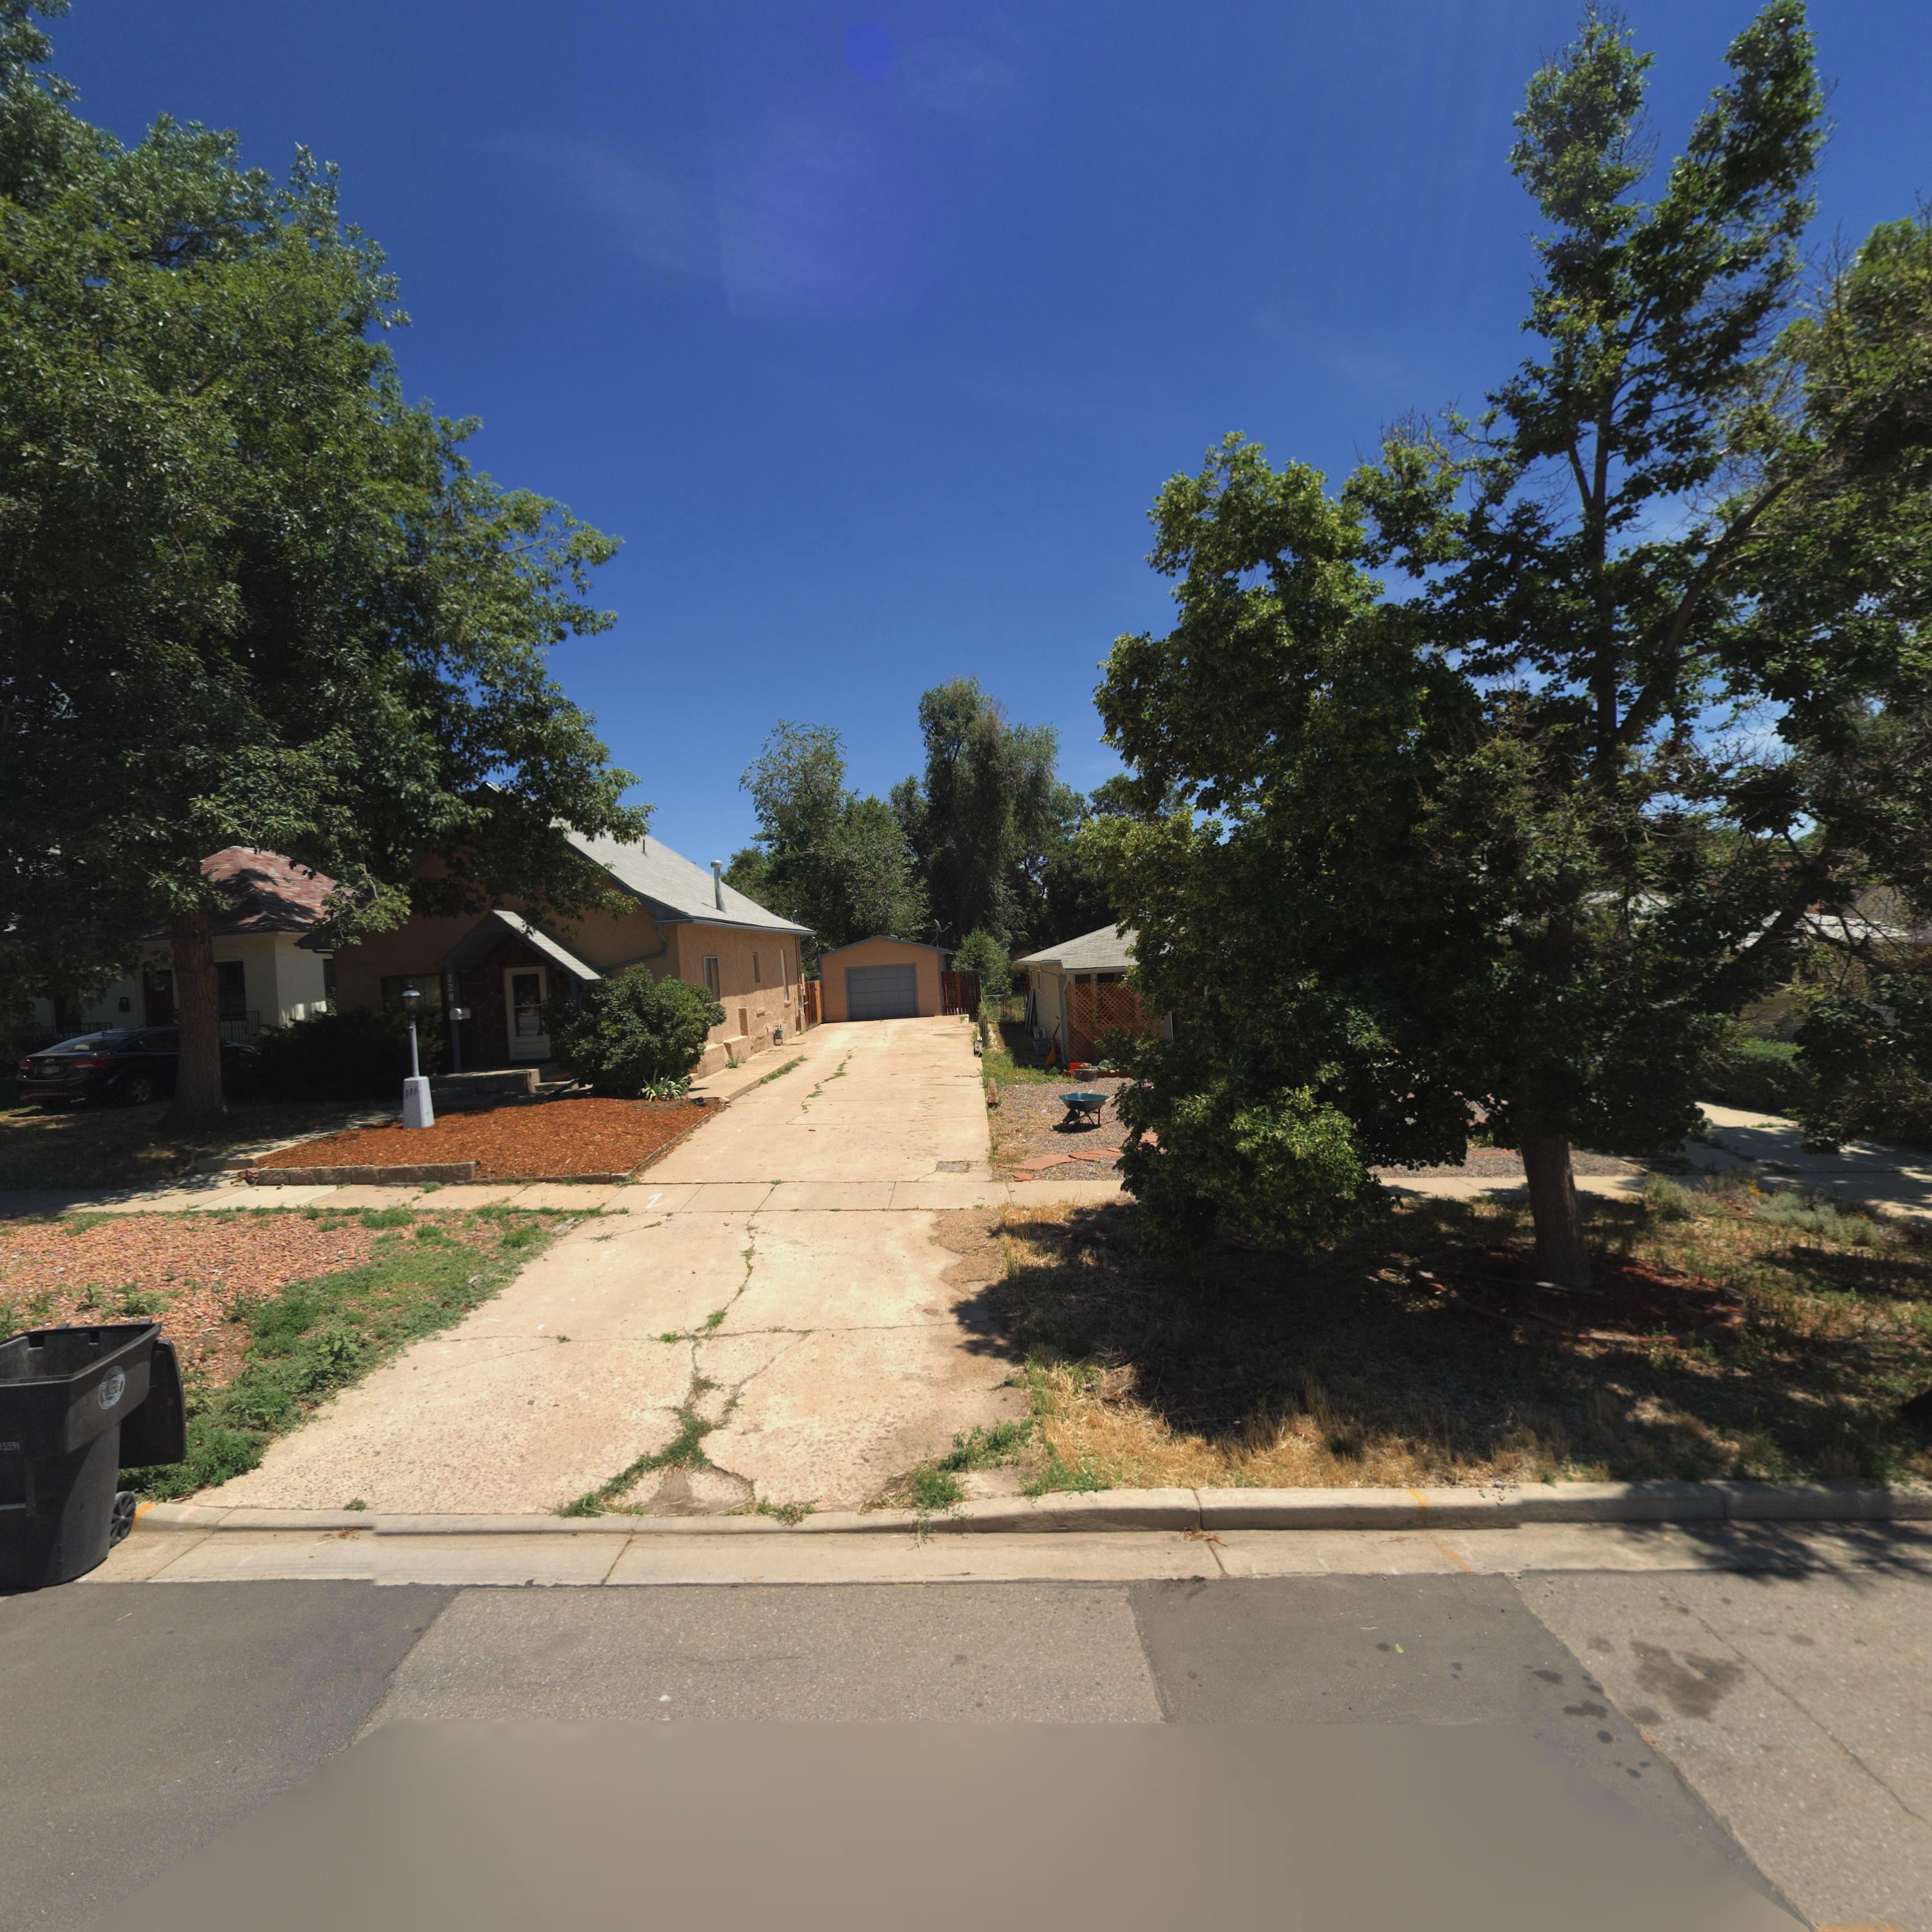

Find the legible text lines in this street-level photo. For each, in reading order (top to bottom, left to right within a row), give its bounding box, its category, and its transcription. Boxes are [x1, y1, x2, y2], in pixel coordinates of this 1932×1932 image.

[446, 974, 454, 1001] StreetNumber: 228
[405, 1087, 417, 1094] StreetNumber: 22*